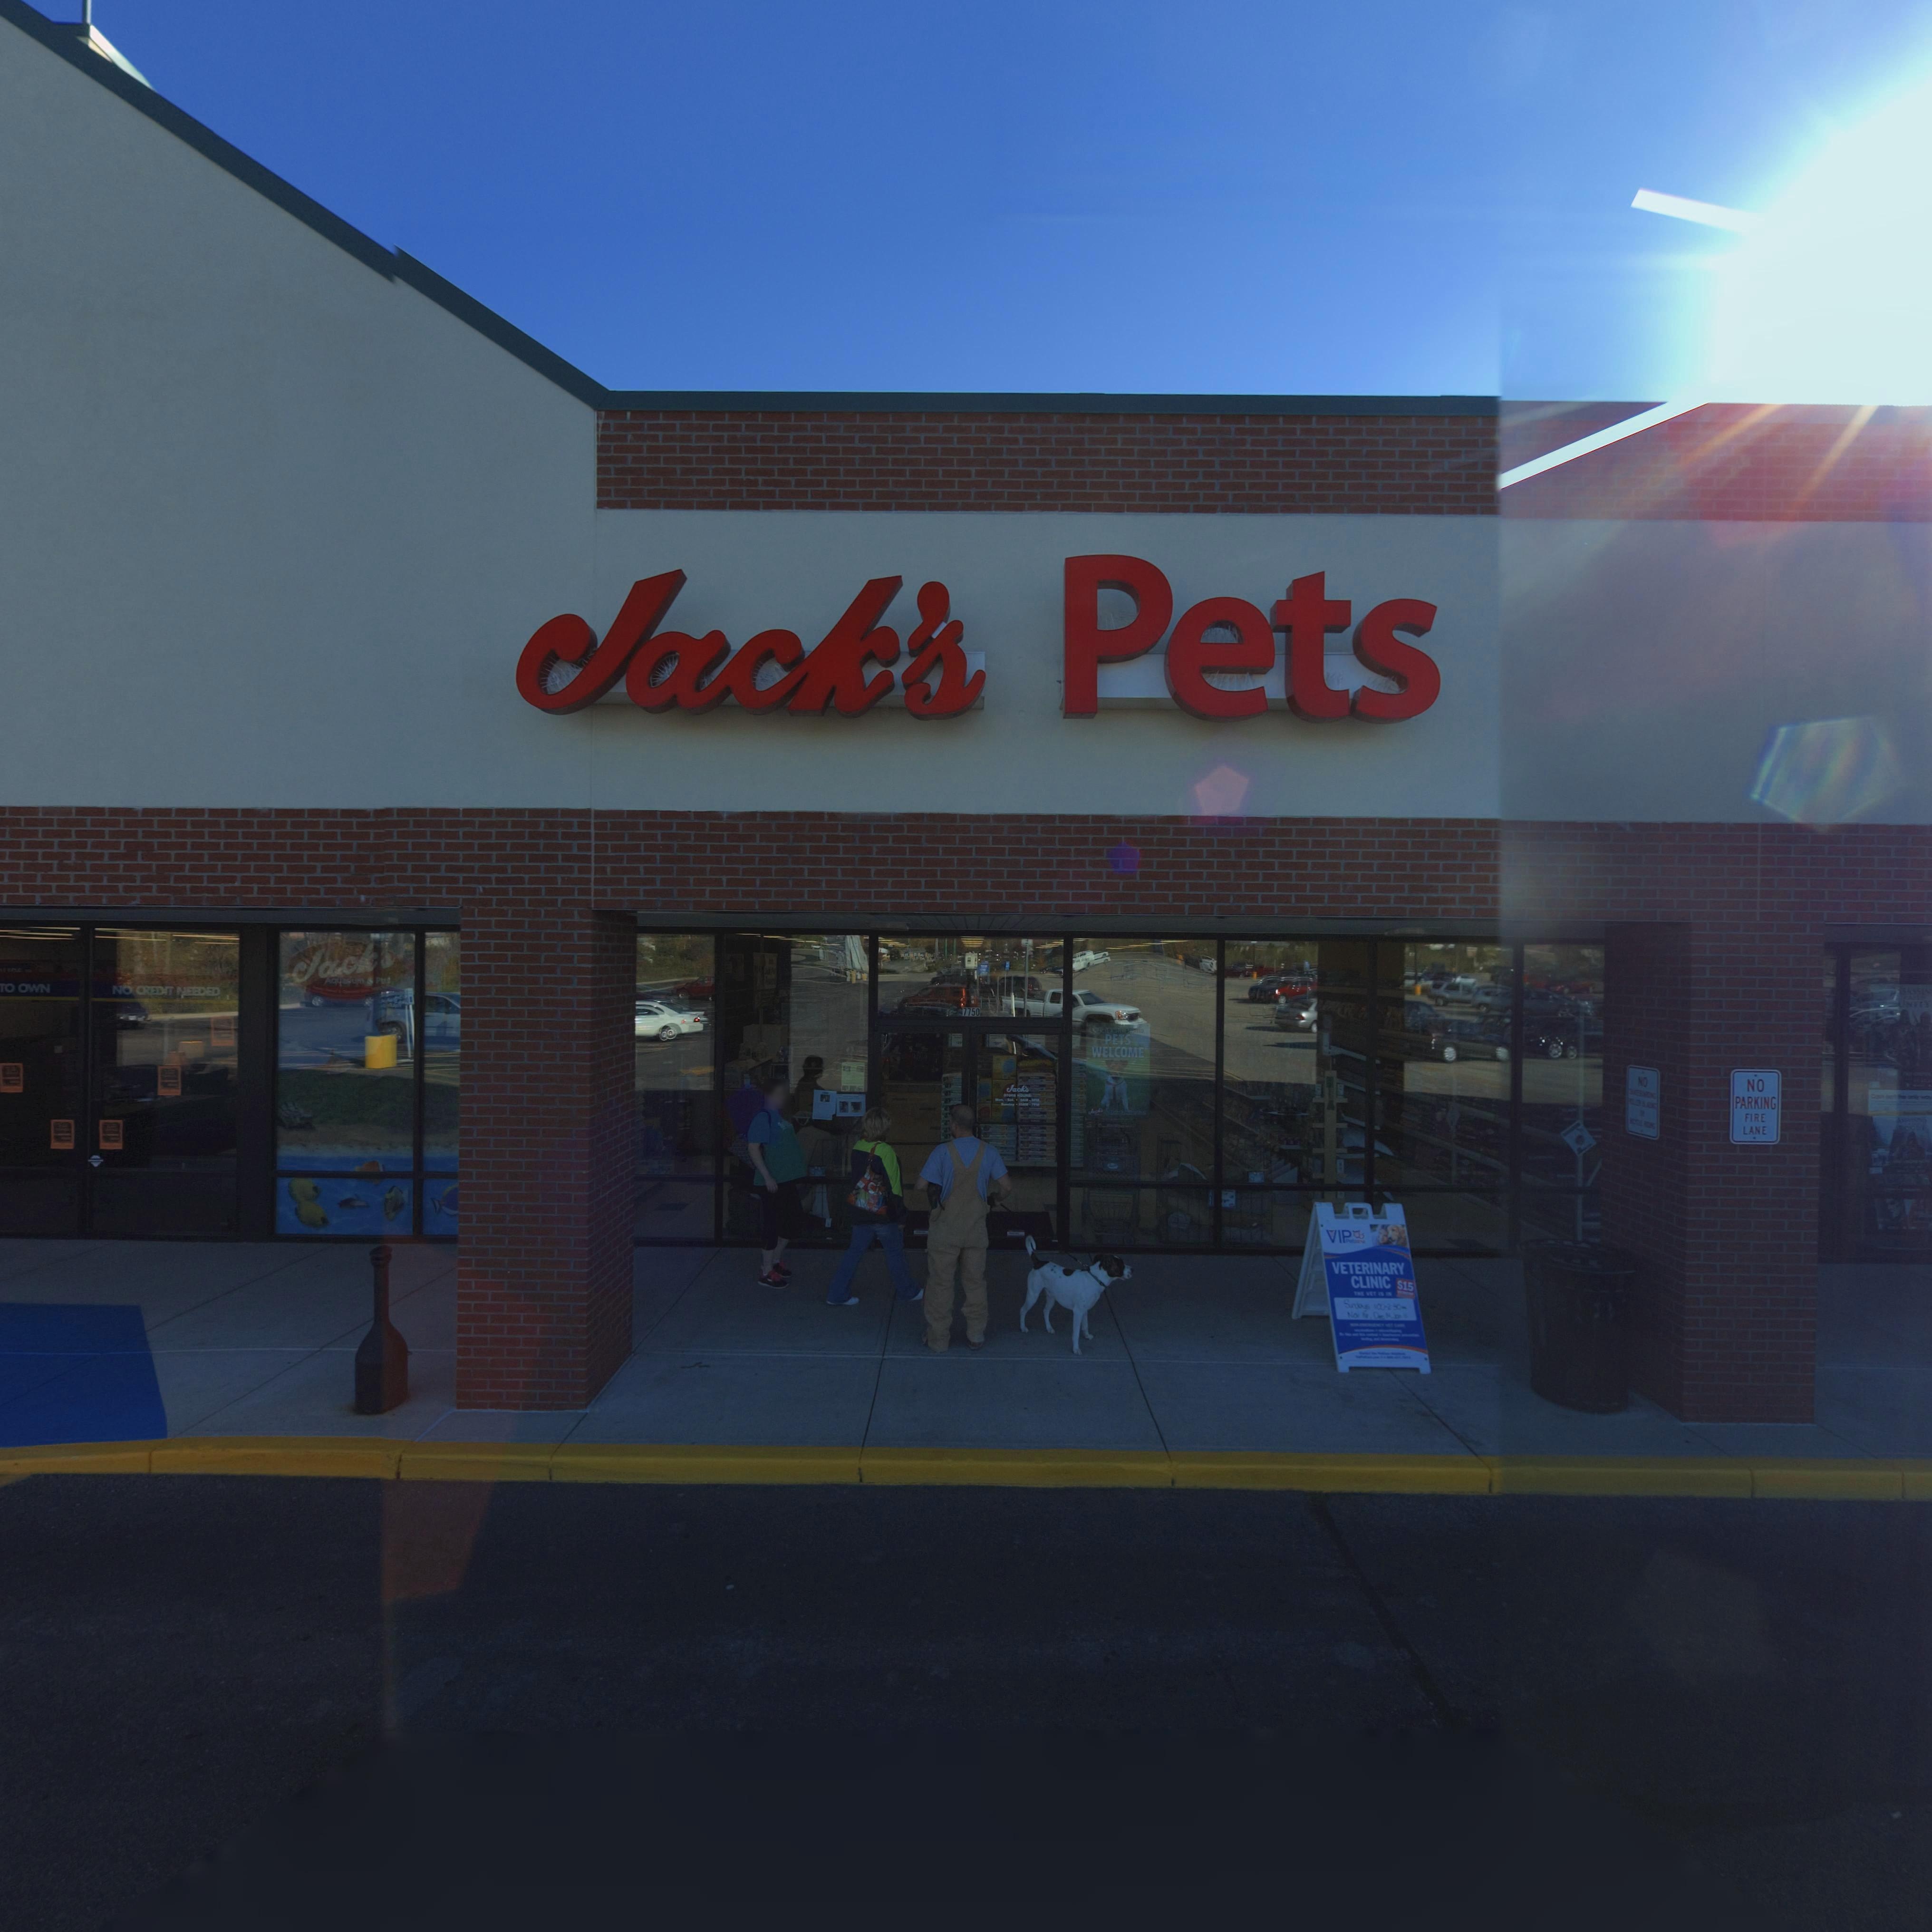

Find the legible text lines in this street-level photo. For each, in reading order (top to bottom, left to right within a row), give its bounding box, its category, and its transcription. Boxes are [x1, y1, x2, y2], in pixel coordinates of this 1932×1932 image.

[963, 1007, 980, 1016] StreetNumber: 7750